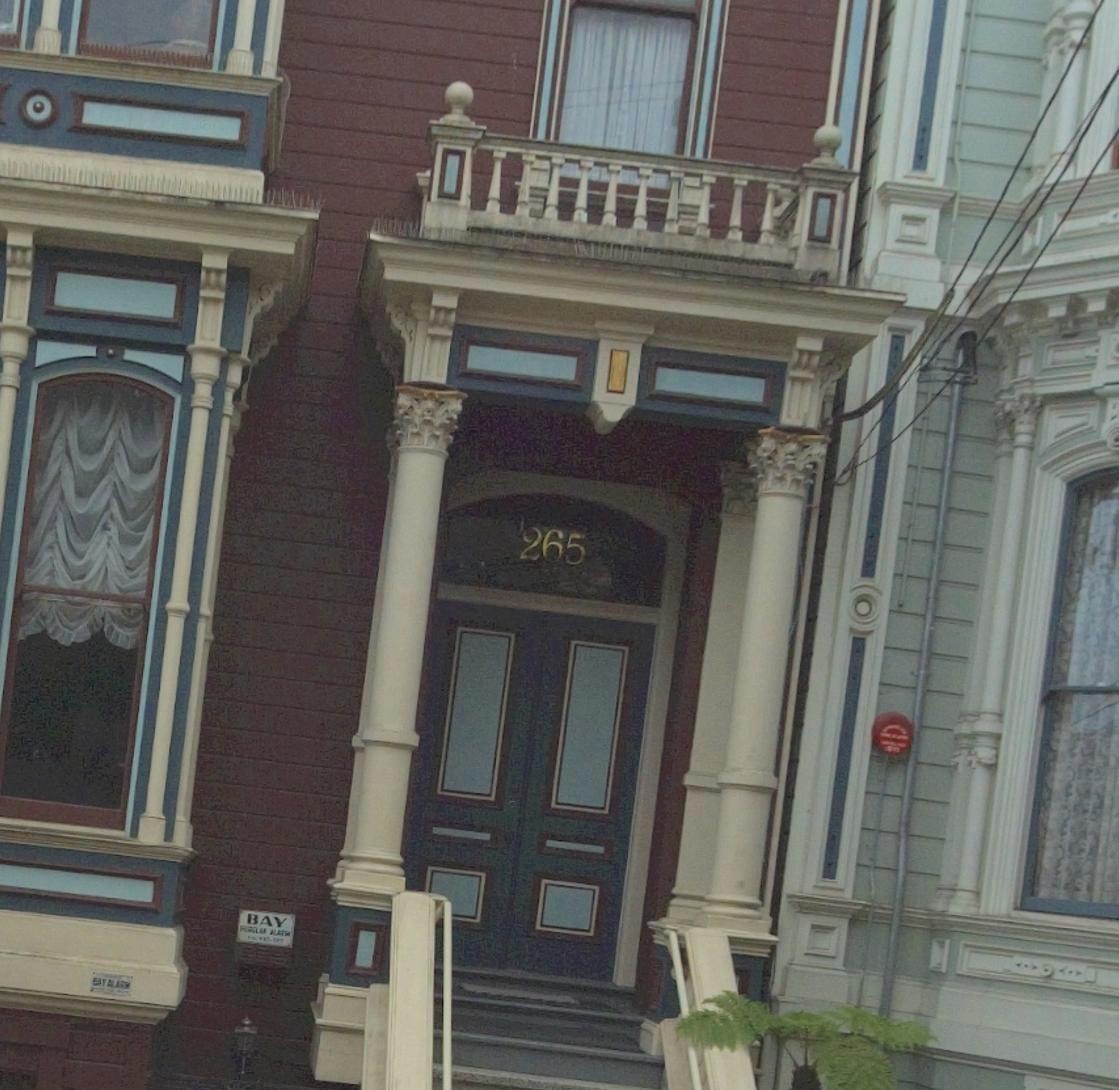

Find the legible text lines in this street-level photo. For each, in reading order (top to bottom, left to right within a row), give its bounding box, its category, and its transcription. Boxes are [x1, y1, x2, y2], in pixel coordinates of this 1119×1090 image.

[517, 524, 587, 568] StreetNumber: 265
[246, 913, 289, 929] None: BAY